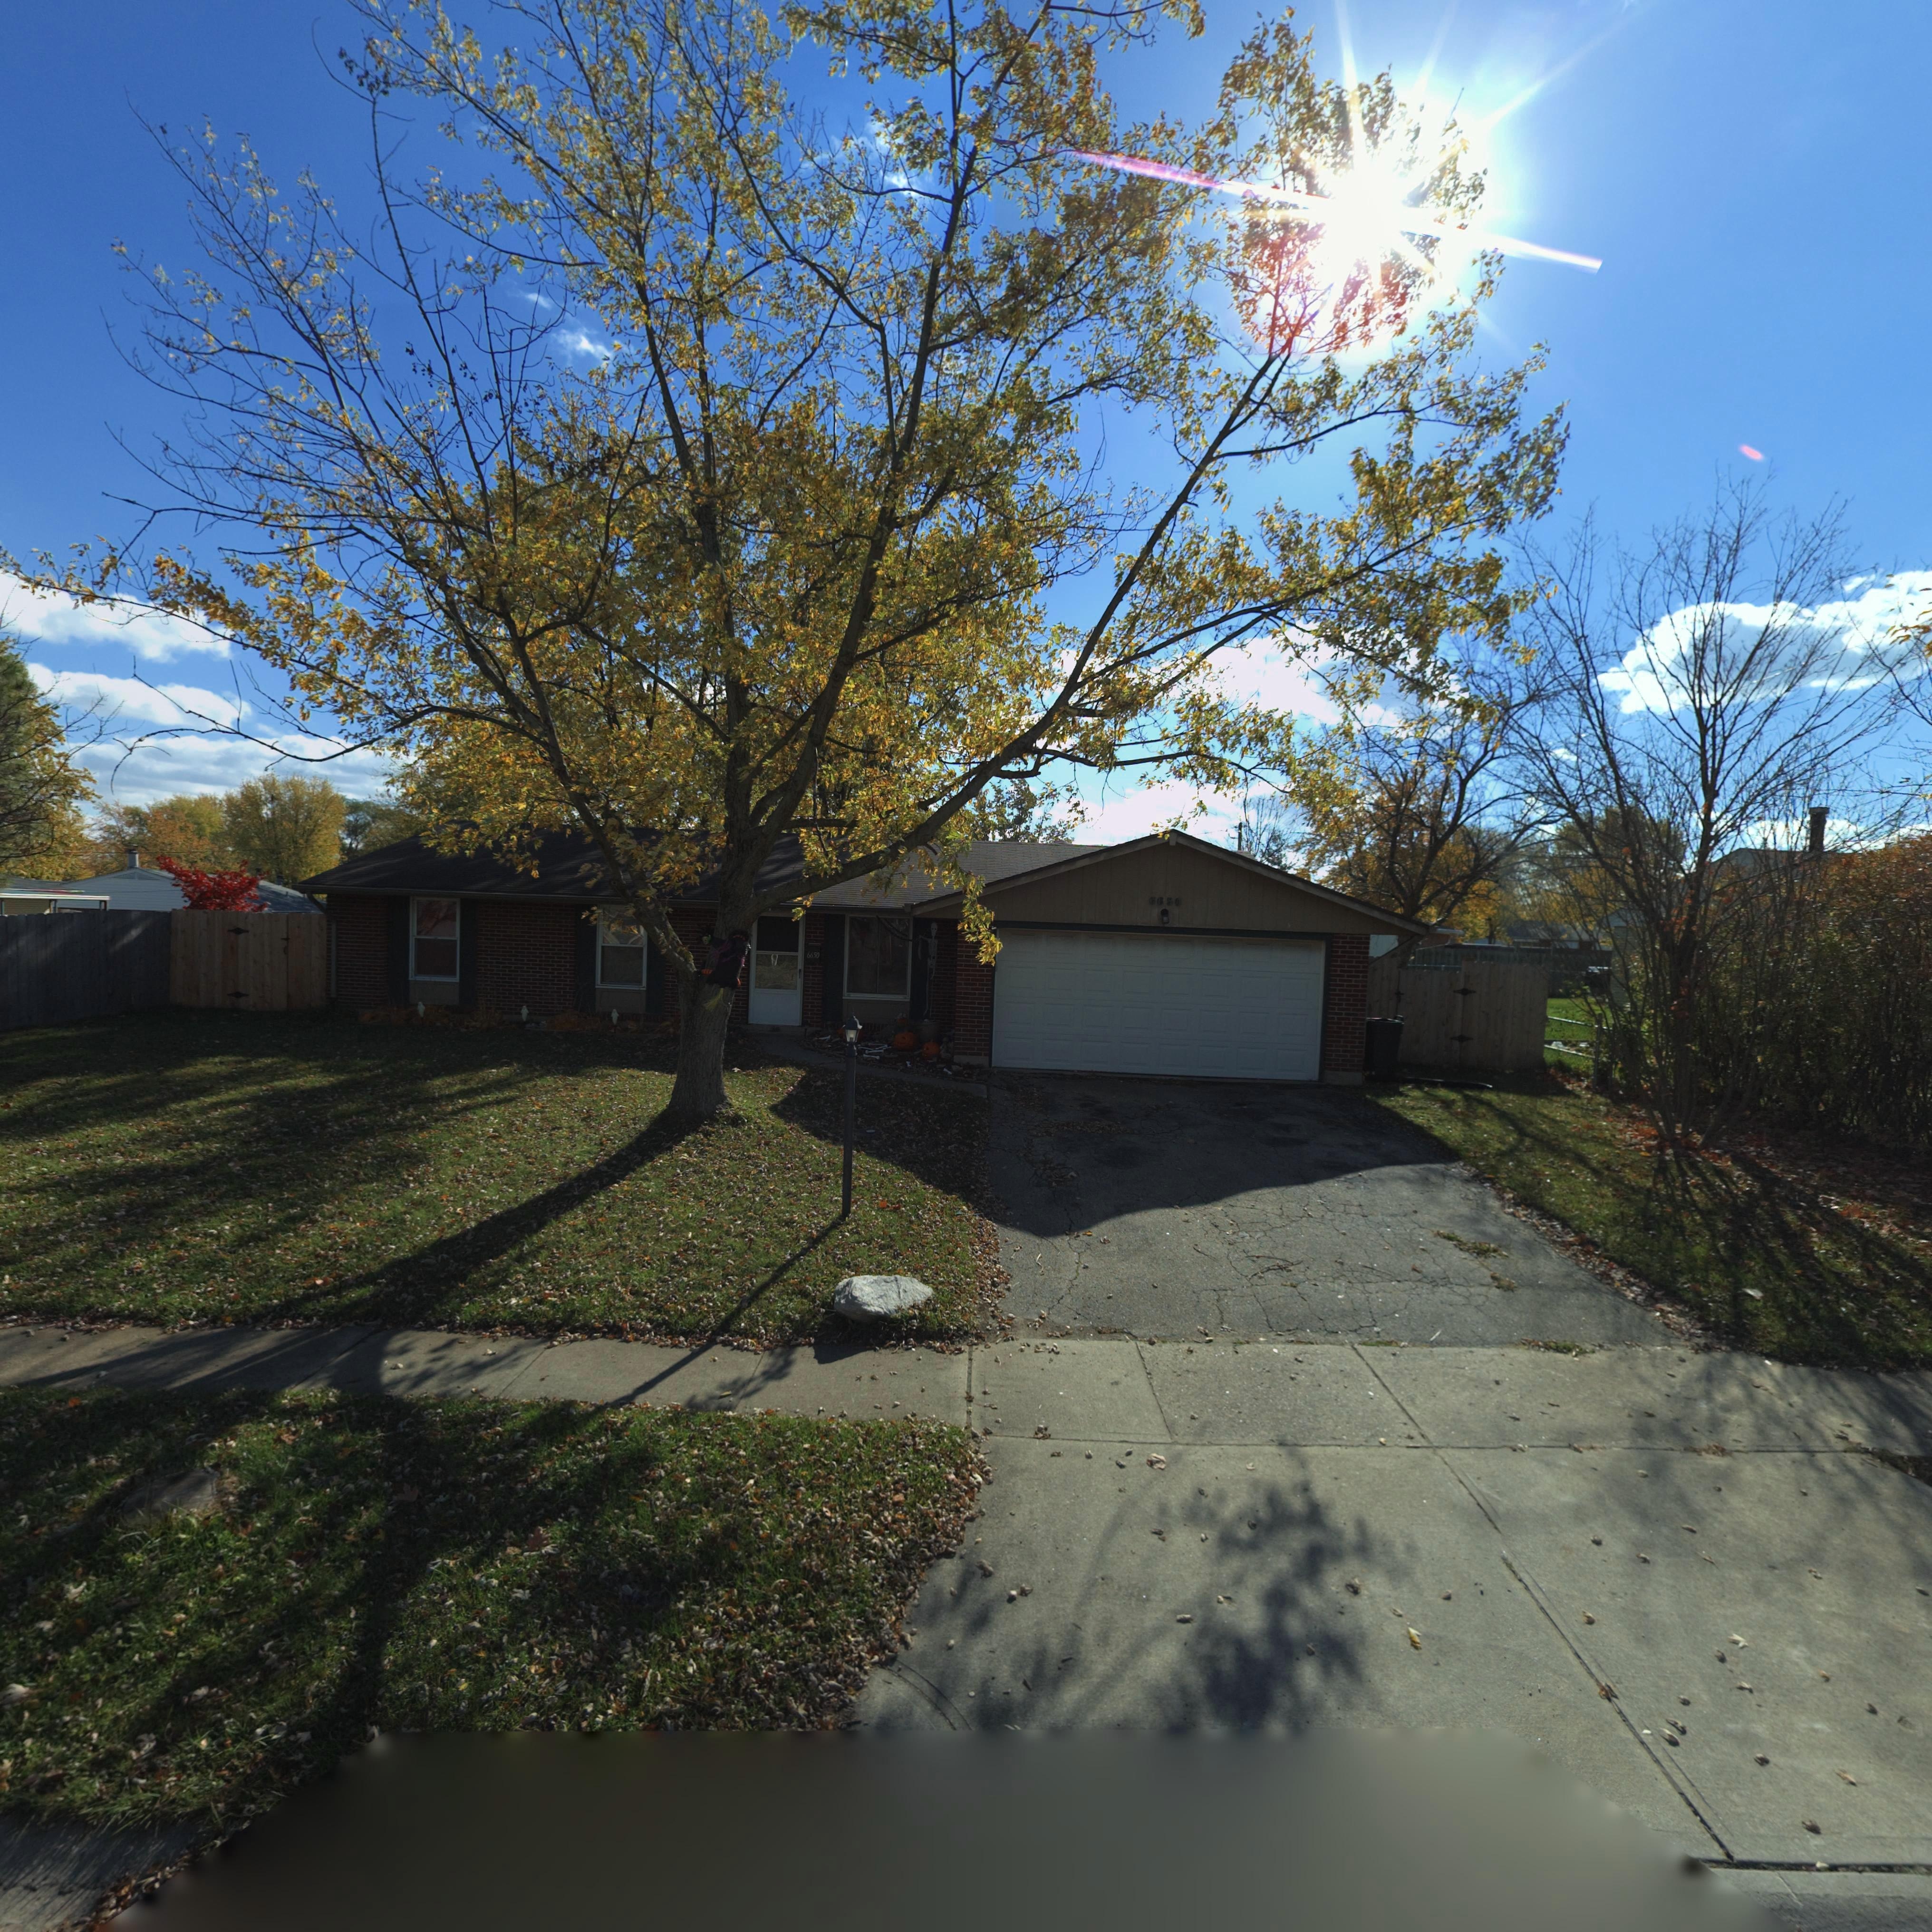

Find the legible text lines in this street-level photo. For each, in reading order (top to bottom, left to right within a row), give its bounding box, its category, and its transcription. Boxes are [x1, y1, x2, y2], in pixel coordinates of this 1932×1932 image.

[1148, 896, 1181, 907] StreetNumber: 6650
[806, 951, 820, 959] StreetNumber: 6650